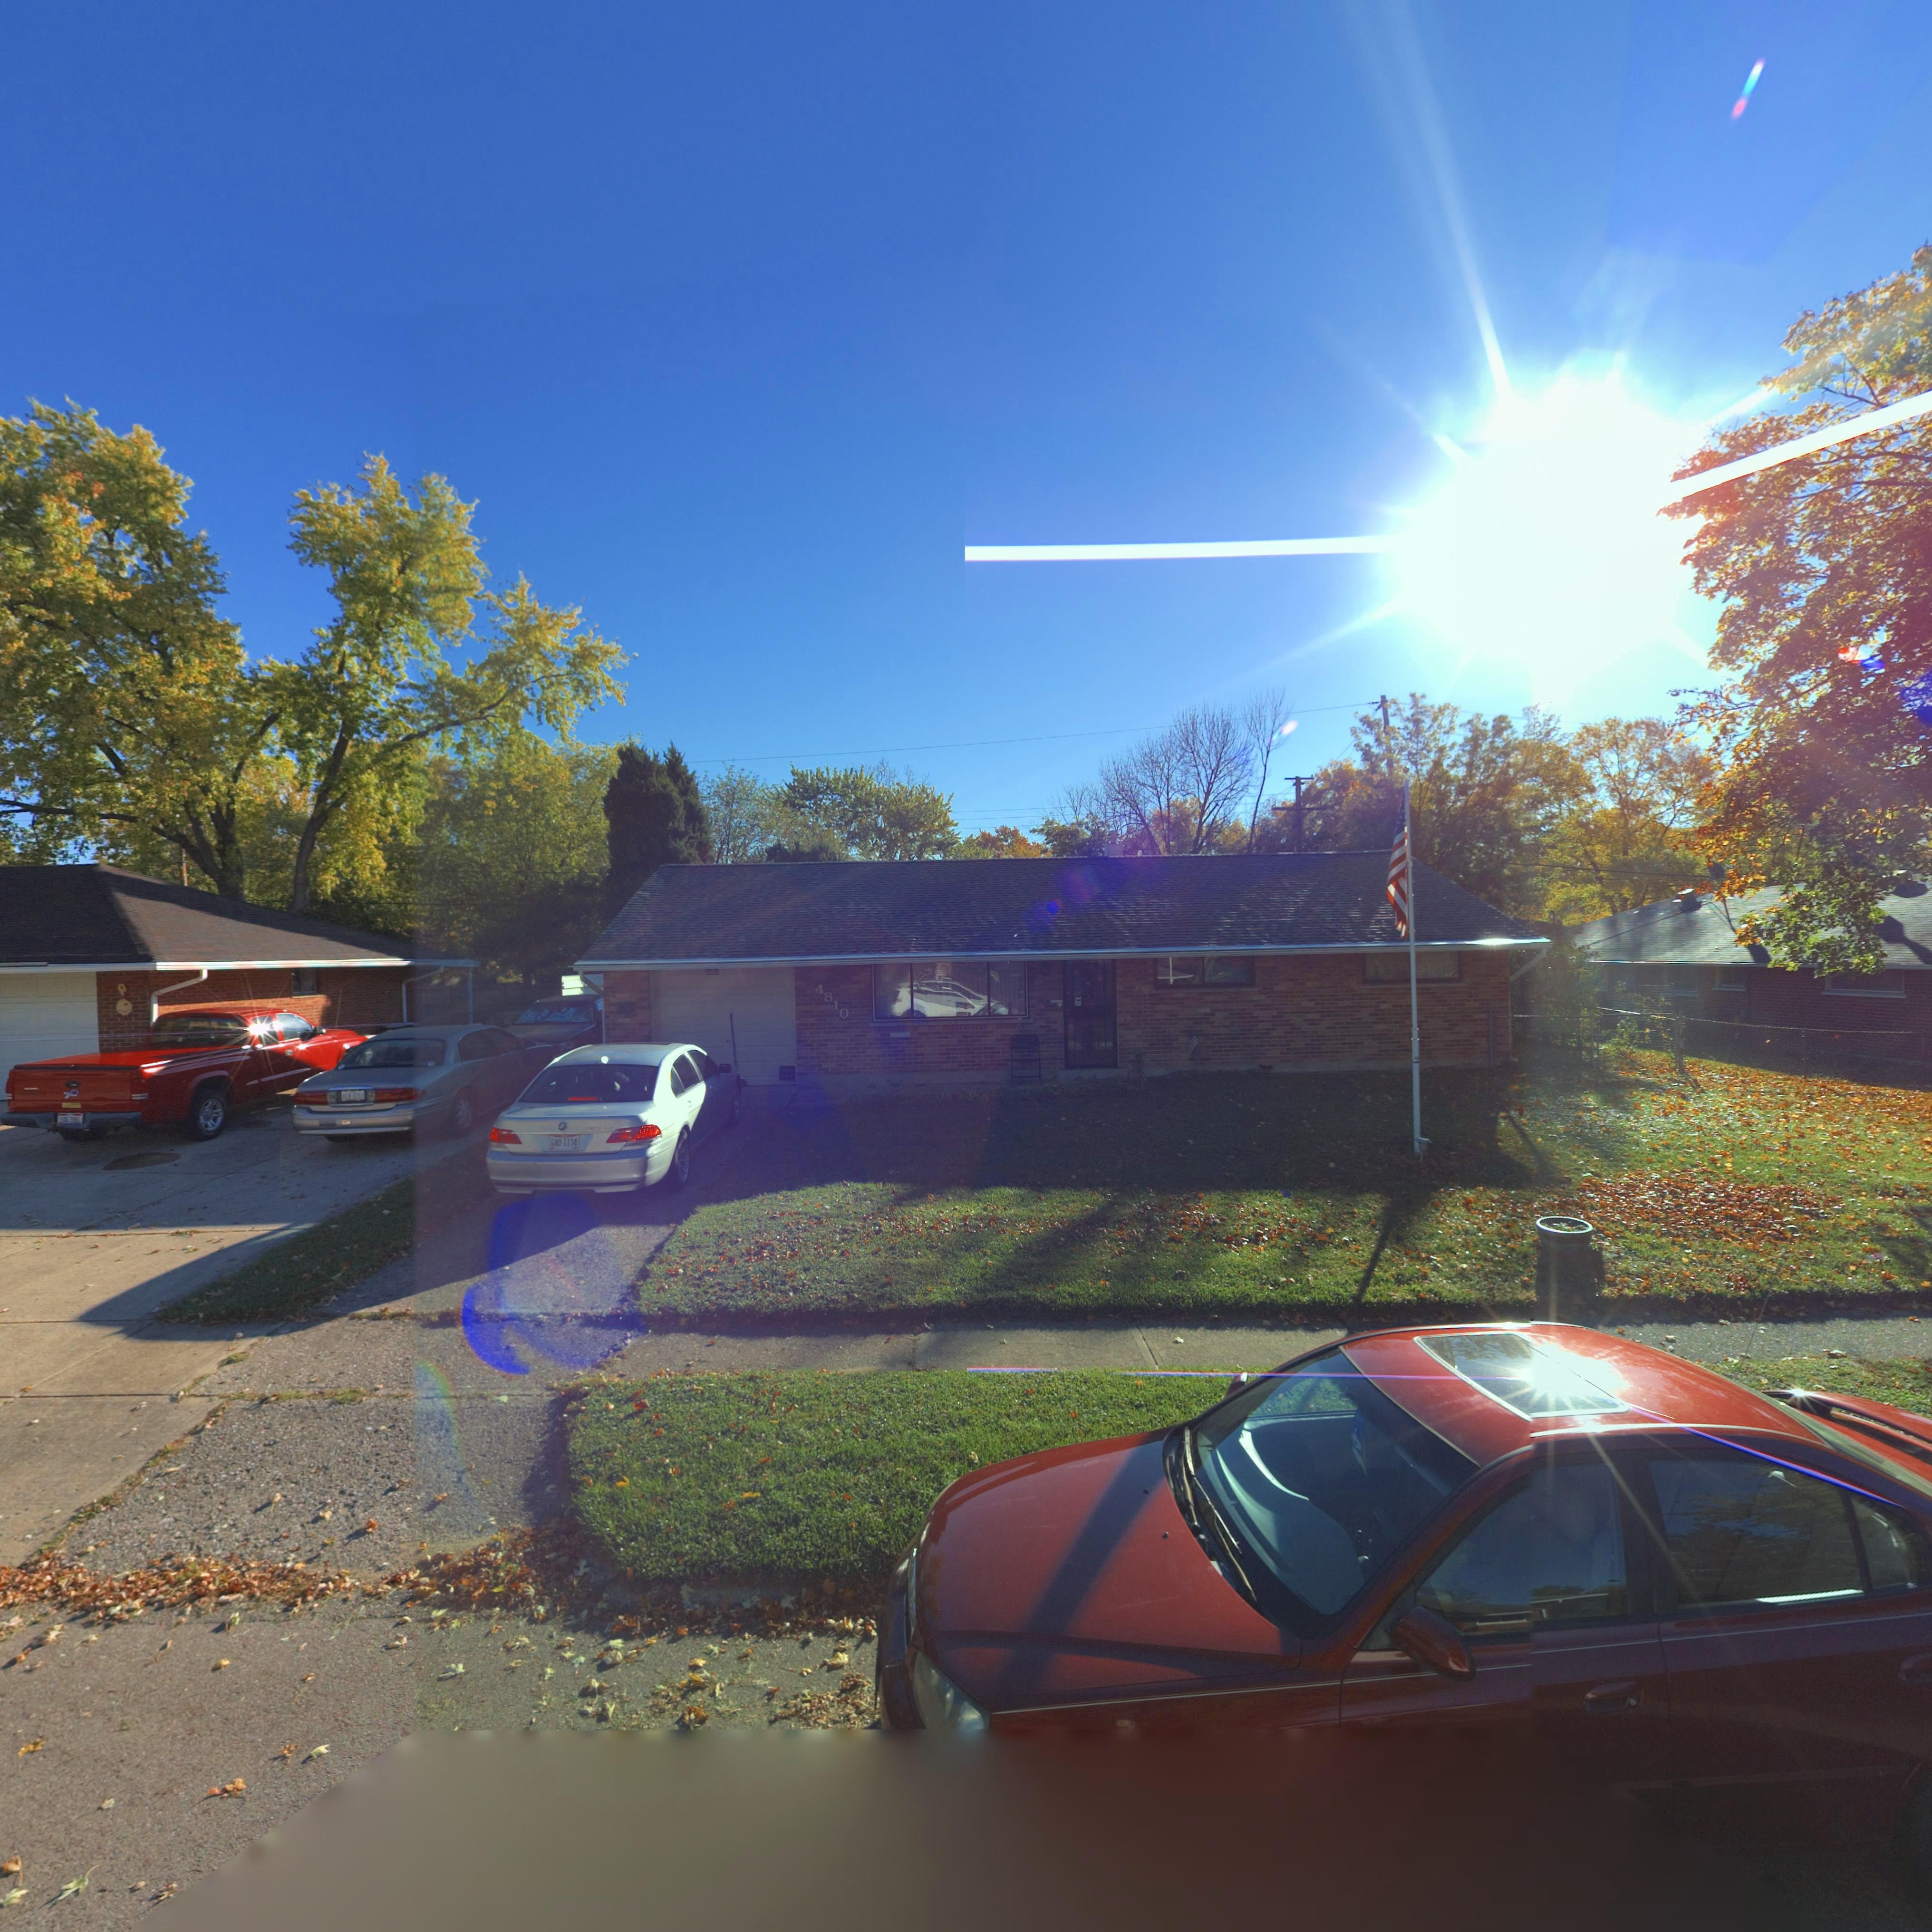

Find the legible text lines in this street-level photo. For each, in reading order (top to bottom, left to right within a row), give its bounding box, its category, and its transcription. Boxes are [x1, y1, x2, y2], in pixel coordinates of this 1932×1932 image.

[815, 984, 850, 1019] StreetNumber: 4810